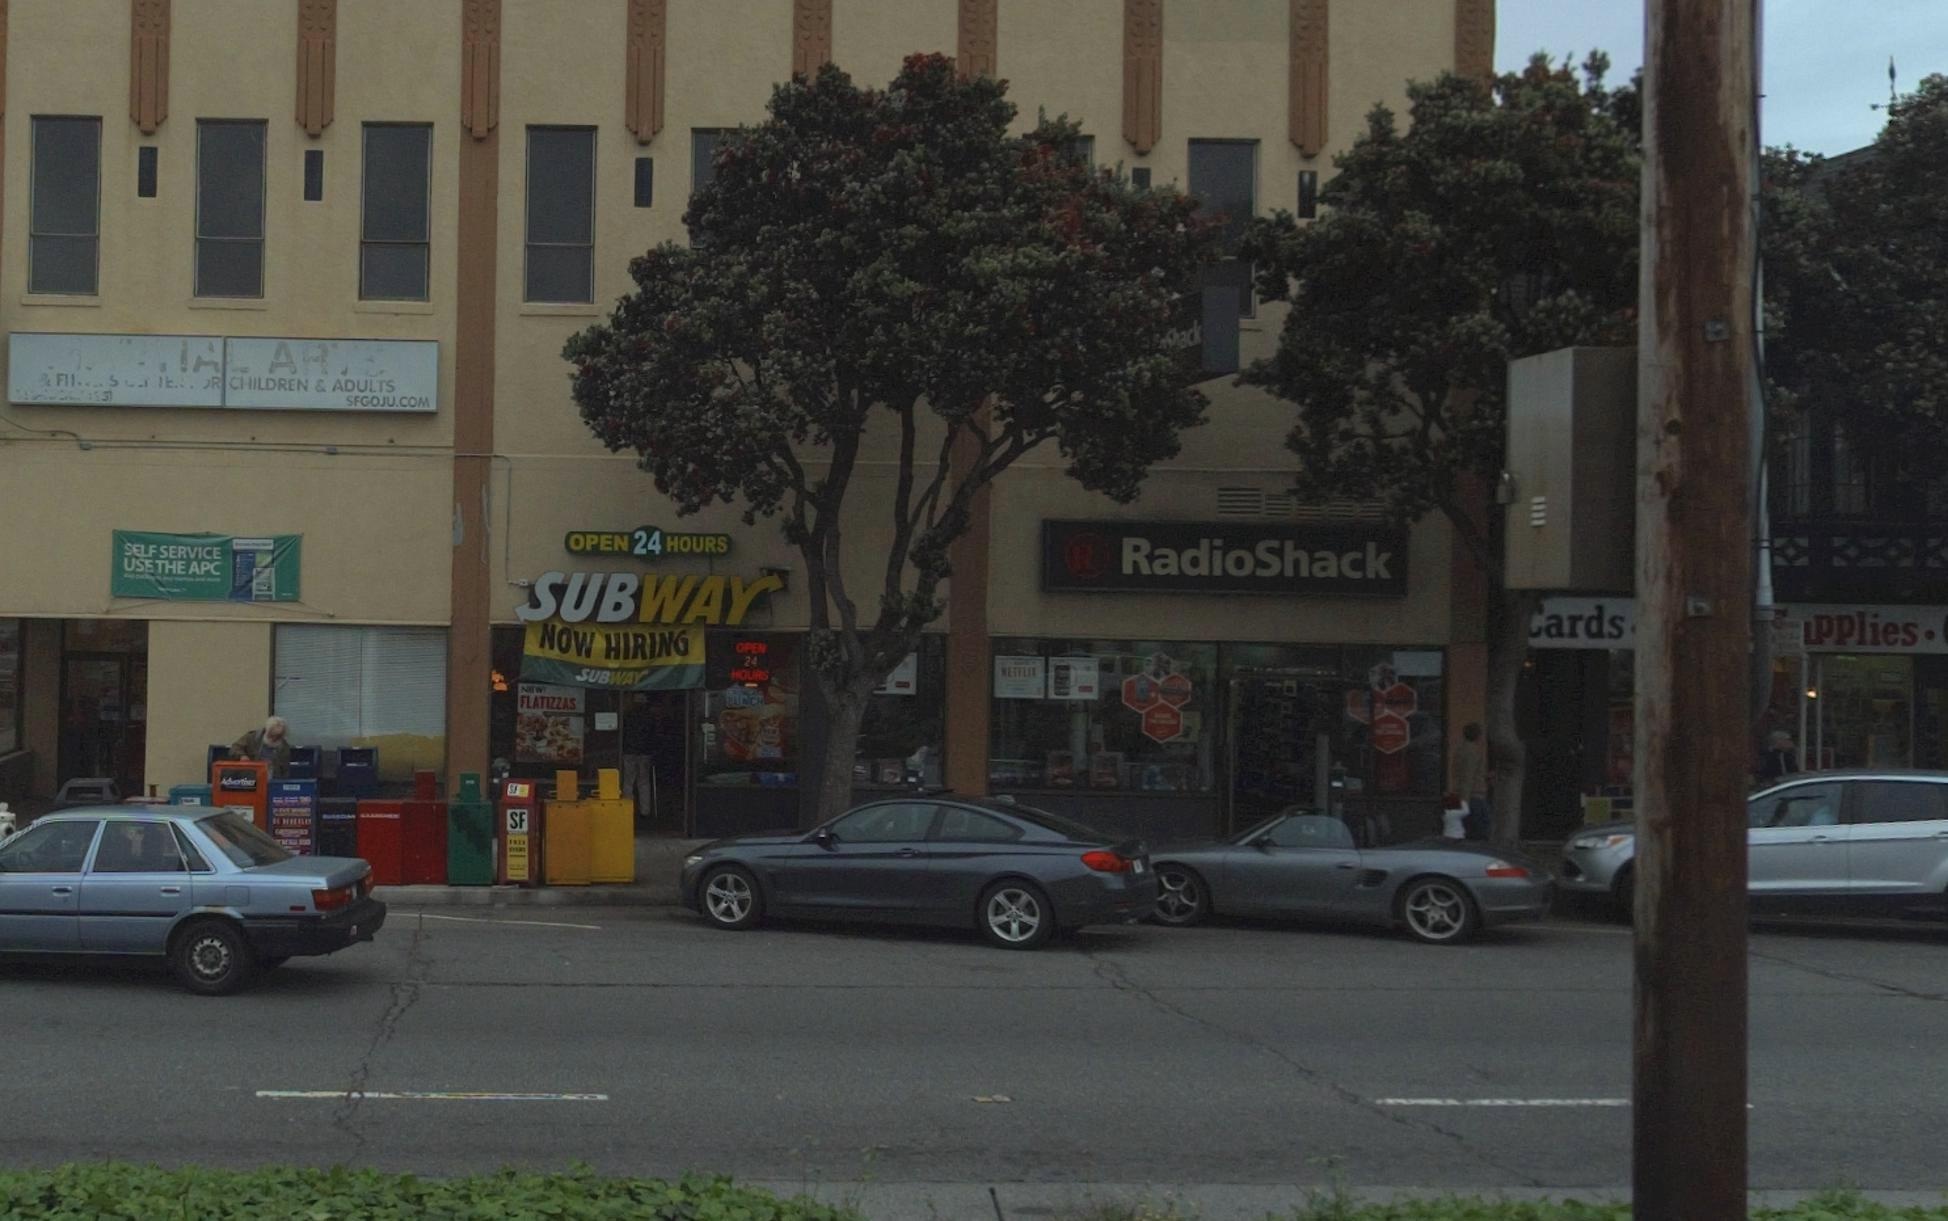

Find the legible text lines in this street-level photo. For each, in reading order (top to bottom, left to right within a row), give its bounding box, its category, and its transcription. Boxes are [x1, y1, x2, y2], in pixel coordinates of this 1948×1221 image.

[265, 337, 302, 378] None: A
[226, 373, 399, 395] None: CHILDREN & ADULTS
[343, 392, 434, 412] None: SFGOJU.COM
[121, 540, 224, 561] None: **LF SERVICE
[121, 553, 224, 578] None: USE THE APC
[567, 527, 731, 557] None: OPEN 24 HOURS
[1070, 541, 1100, 573] None: R
[1119, 534, 1396, 582] BusinessName: RadioShack
[509, 569, 790, 628] BusinessName: SUBWAY
[536, 620, 691, 662] None: NOW HIRING
[733, 639, 769, 656] None: OPEN
[1540, 601, 1629, 643] None: ards
[1811, 608, 1923, 649] None: pplies
[741, 653, 760, 670] None: 24
[572, 666, 652, 689] BusinessName: SUBWA*
[729, 666, 773, 684] None: *OURS
[518, 692, 579, 714] None: FLATIZZAS
[508, 809, 528, 832] None: SF